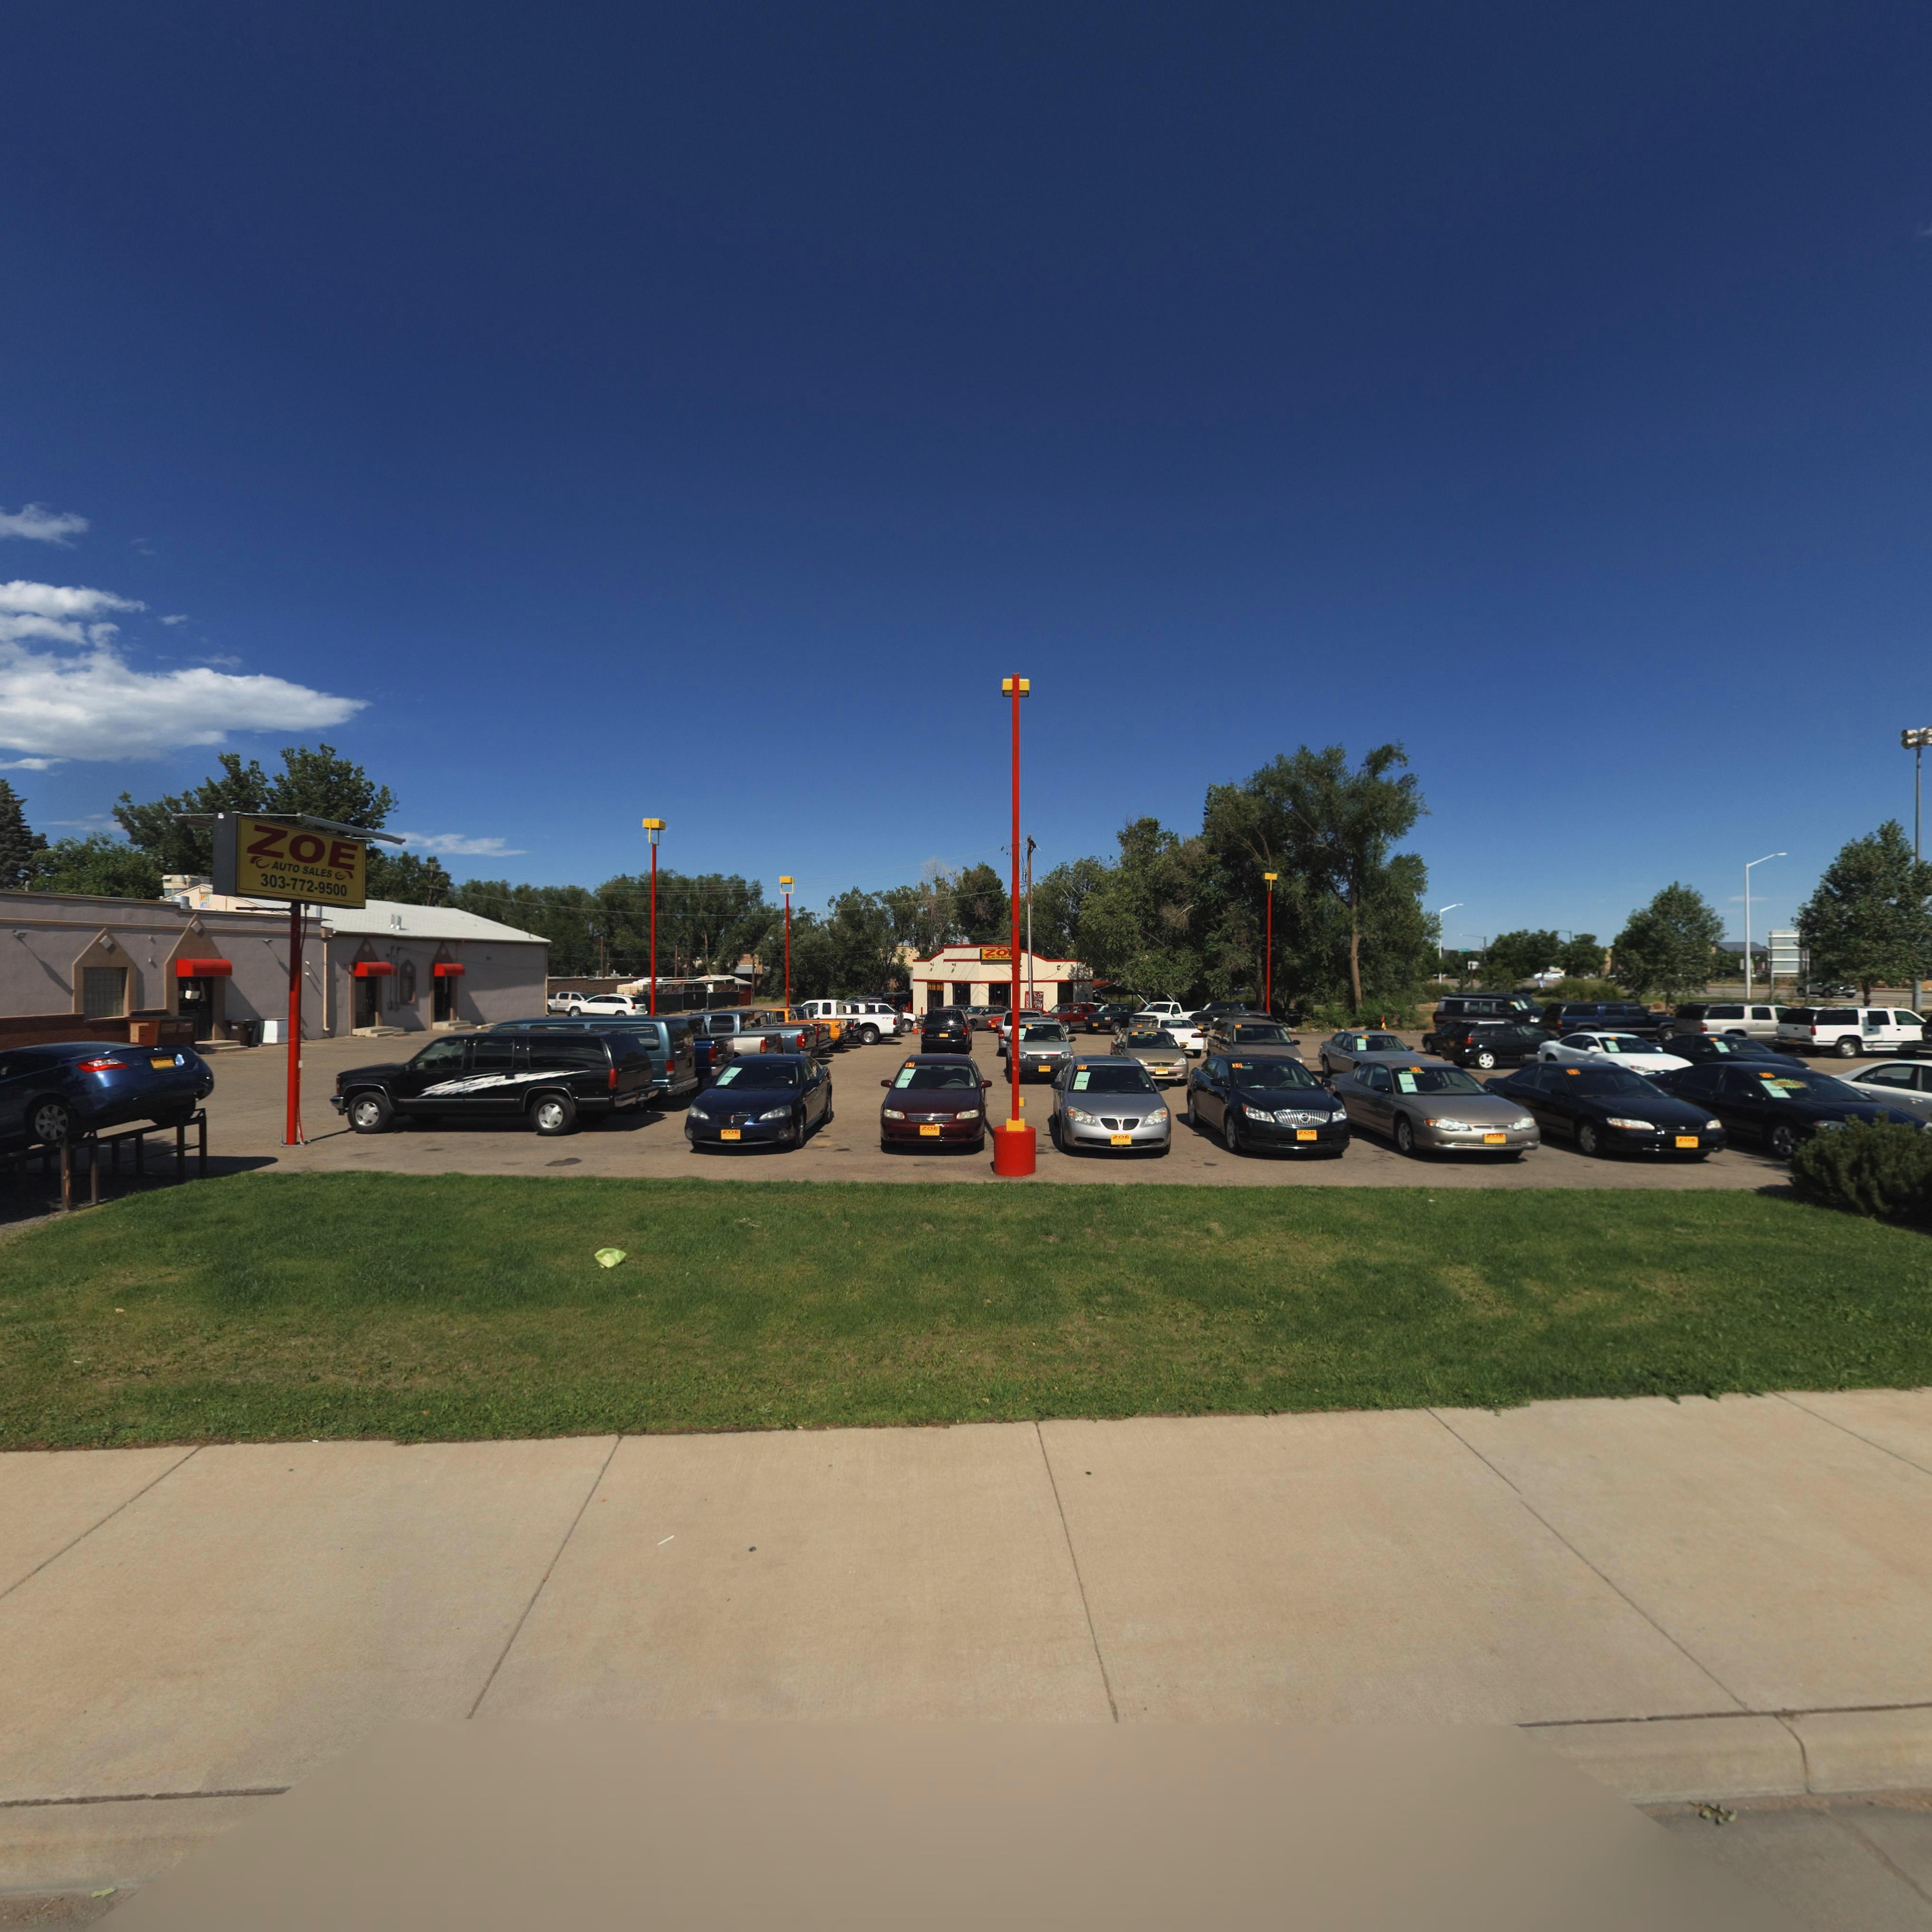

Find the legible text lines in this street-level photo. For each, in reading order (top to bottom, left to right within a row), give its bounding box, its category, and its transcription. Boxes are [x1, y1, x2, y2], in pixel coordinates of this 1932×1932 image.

[246, 823, 358, 871] BusinessName: ZOE
[271, 860, 332, 878] BusinessName: AUTO SALES
[984, 949, 1008, 956] BusinessName: ZO